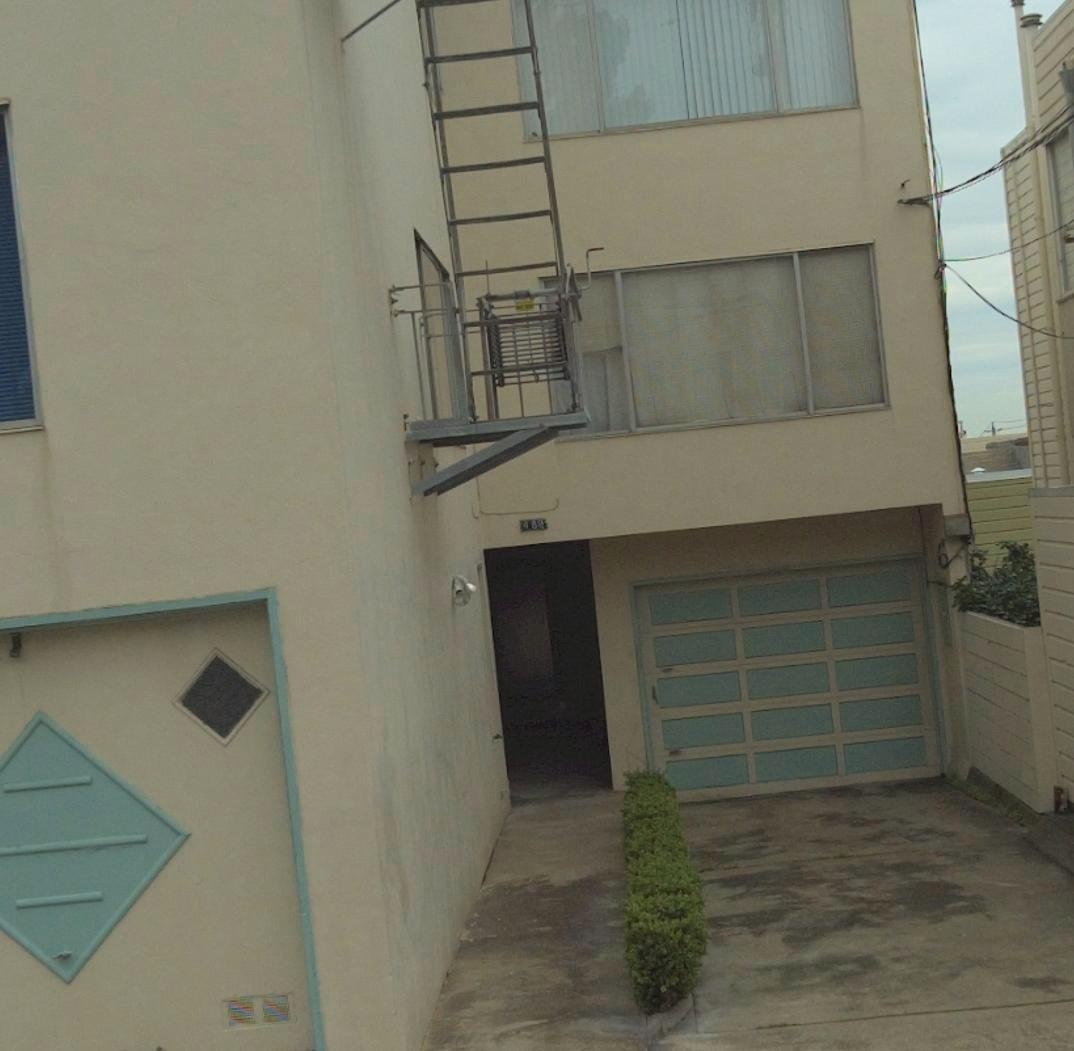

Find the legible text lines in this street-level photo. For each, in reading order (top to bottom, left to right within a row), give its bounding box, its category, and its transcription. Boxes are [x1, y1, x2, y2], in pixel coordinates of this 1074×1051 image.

[521, 518, 546, 531] StreetNumber: 489